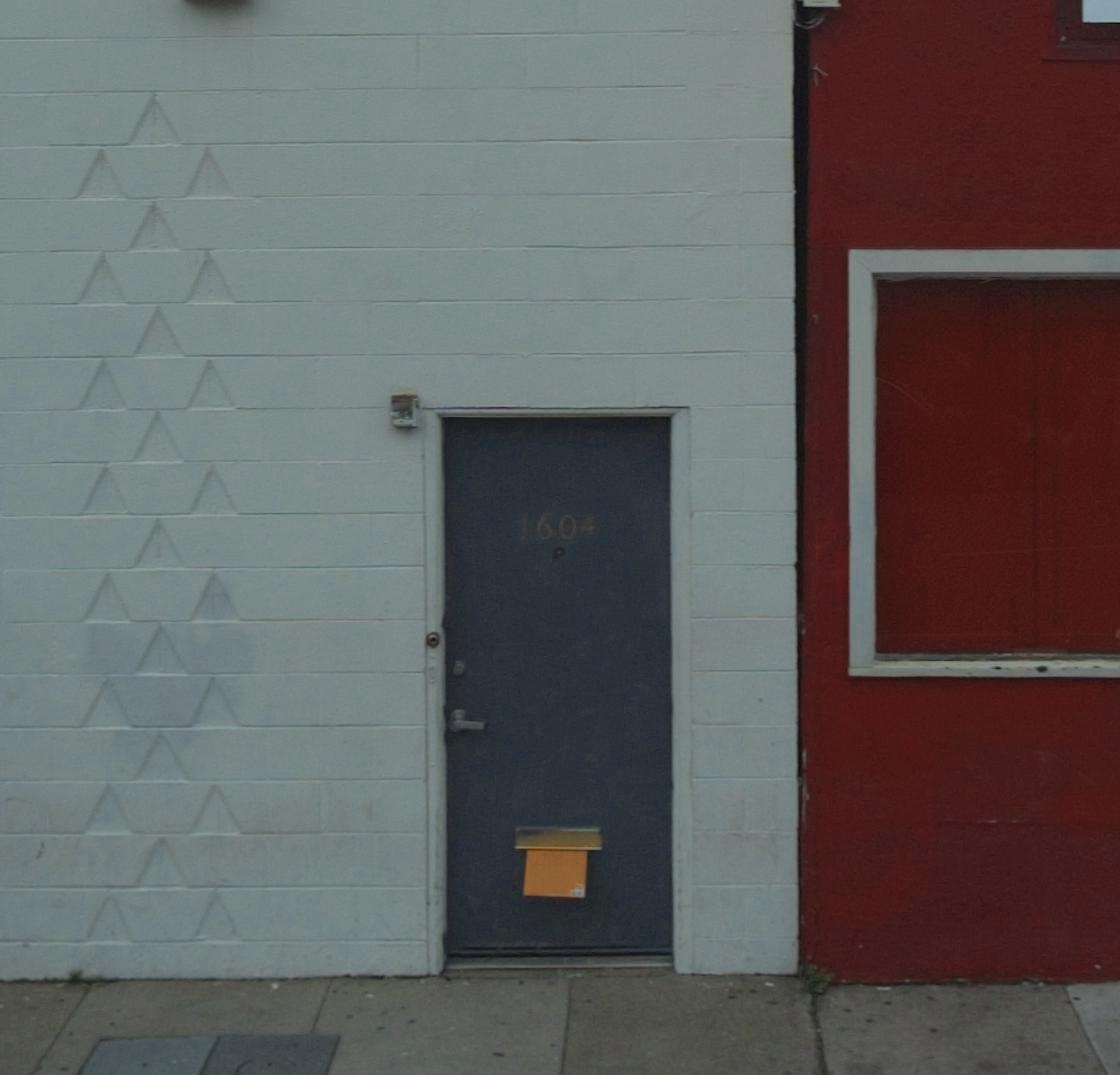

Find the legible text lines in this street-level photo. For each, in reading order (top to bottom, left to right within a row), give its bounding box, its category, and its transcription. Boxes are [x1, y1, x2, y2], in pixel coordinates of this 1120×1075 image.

[517, 509, 598, 544] StreetNumber: 1604